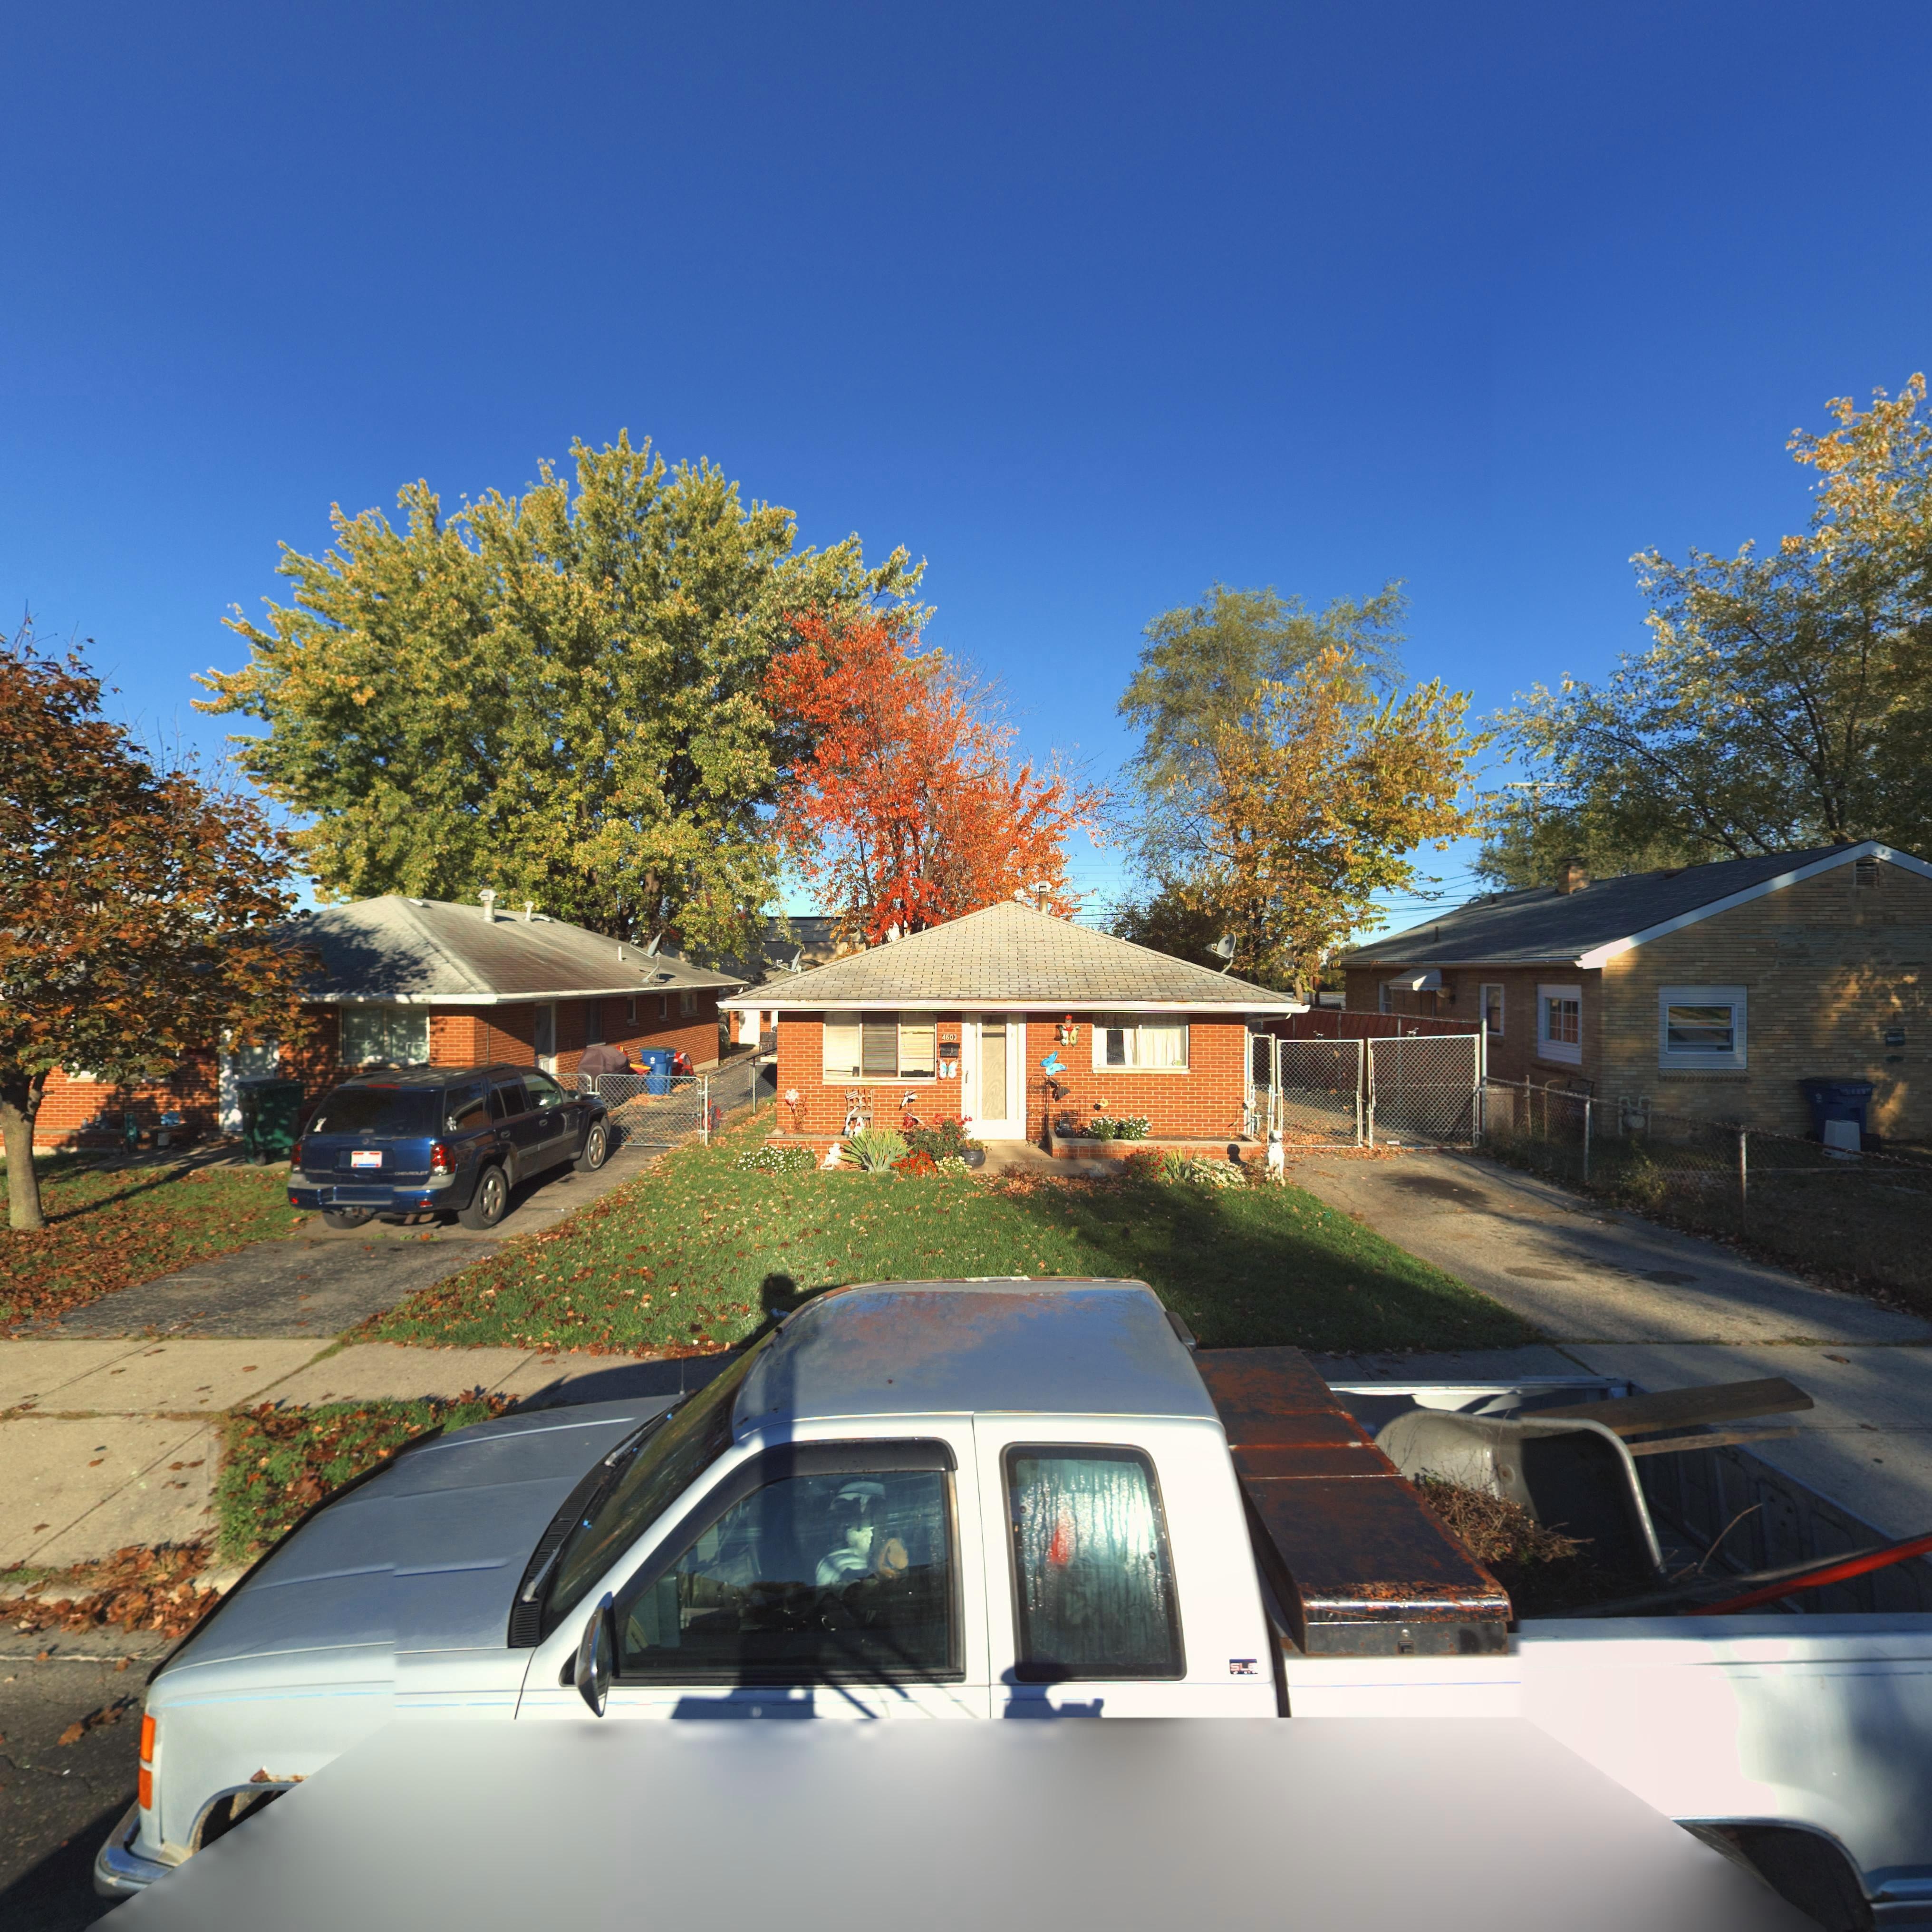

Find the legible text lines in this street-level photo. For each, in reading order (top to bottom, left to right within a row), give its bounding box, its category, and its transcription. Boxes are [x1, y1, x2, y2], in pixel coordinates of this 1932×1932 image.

[941, 1033, 958, 1041] StreetNumber: 4603